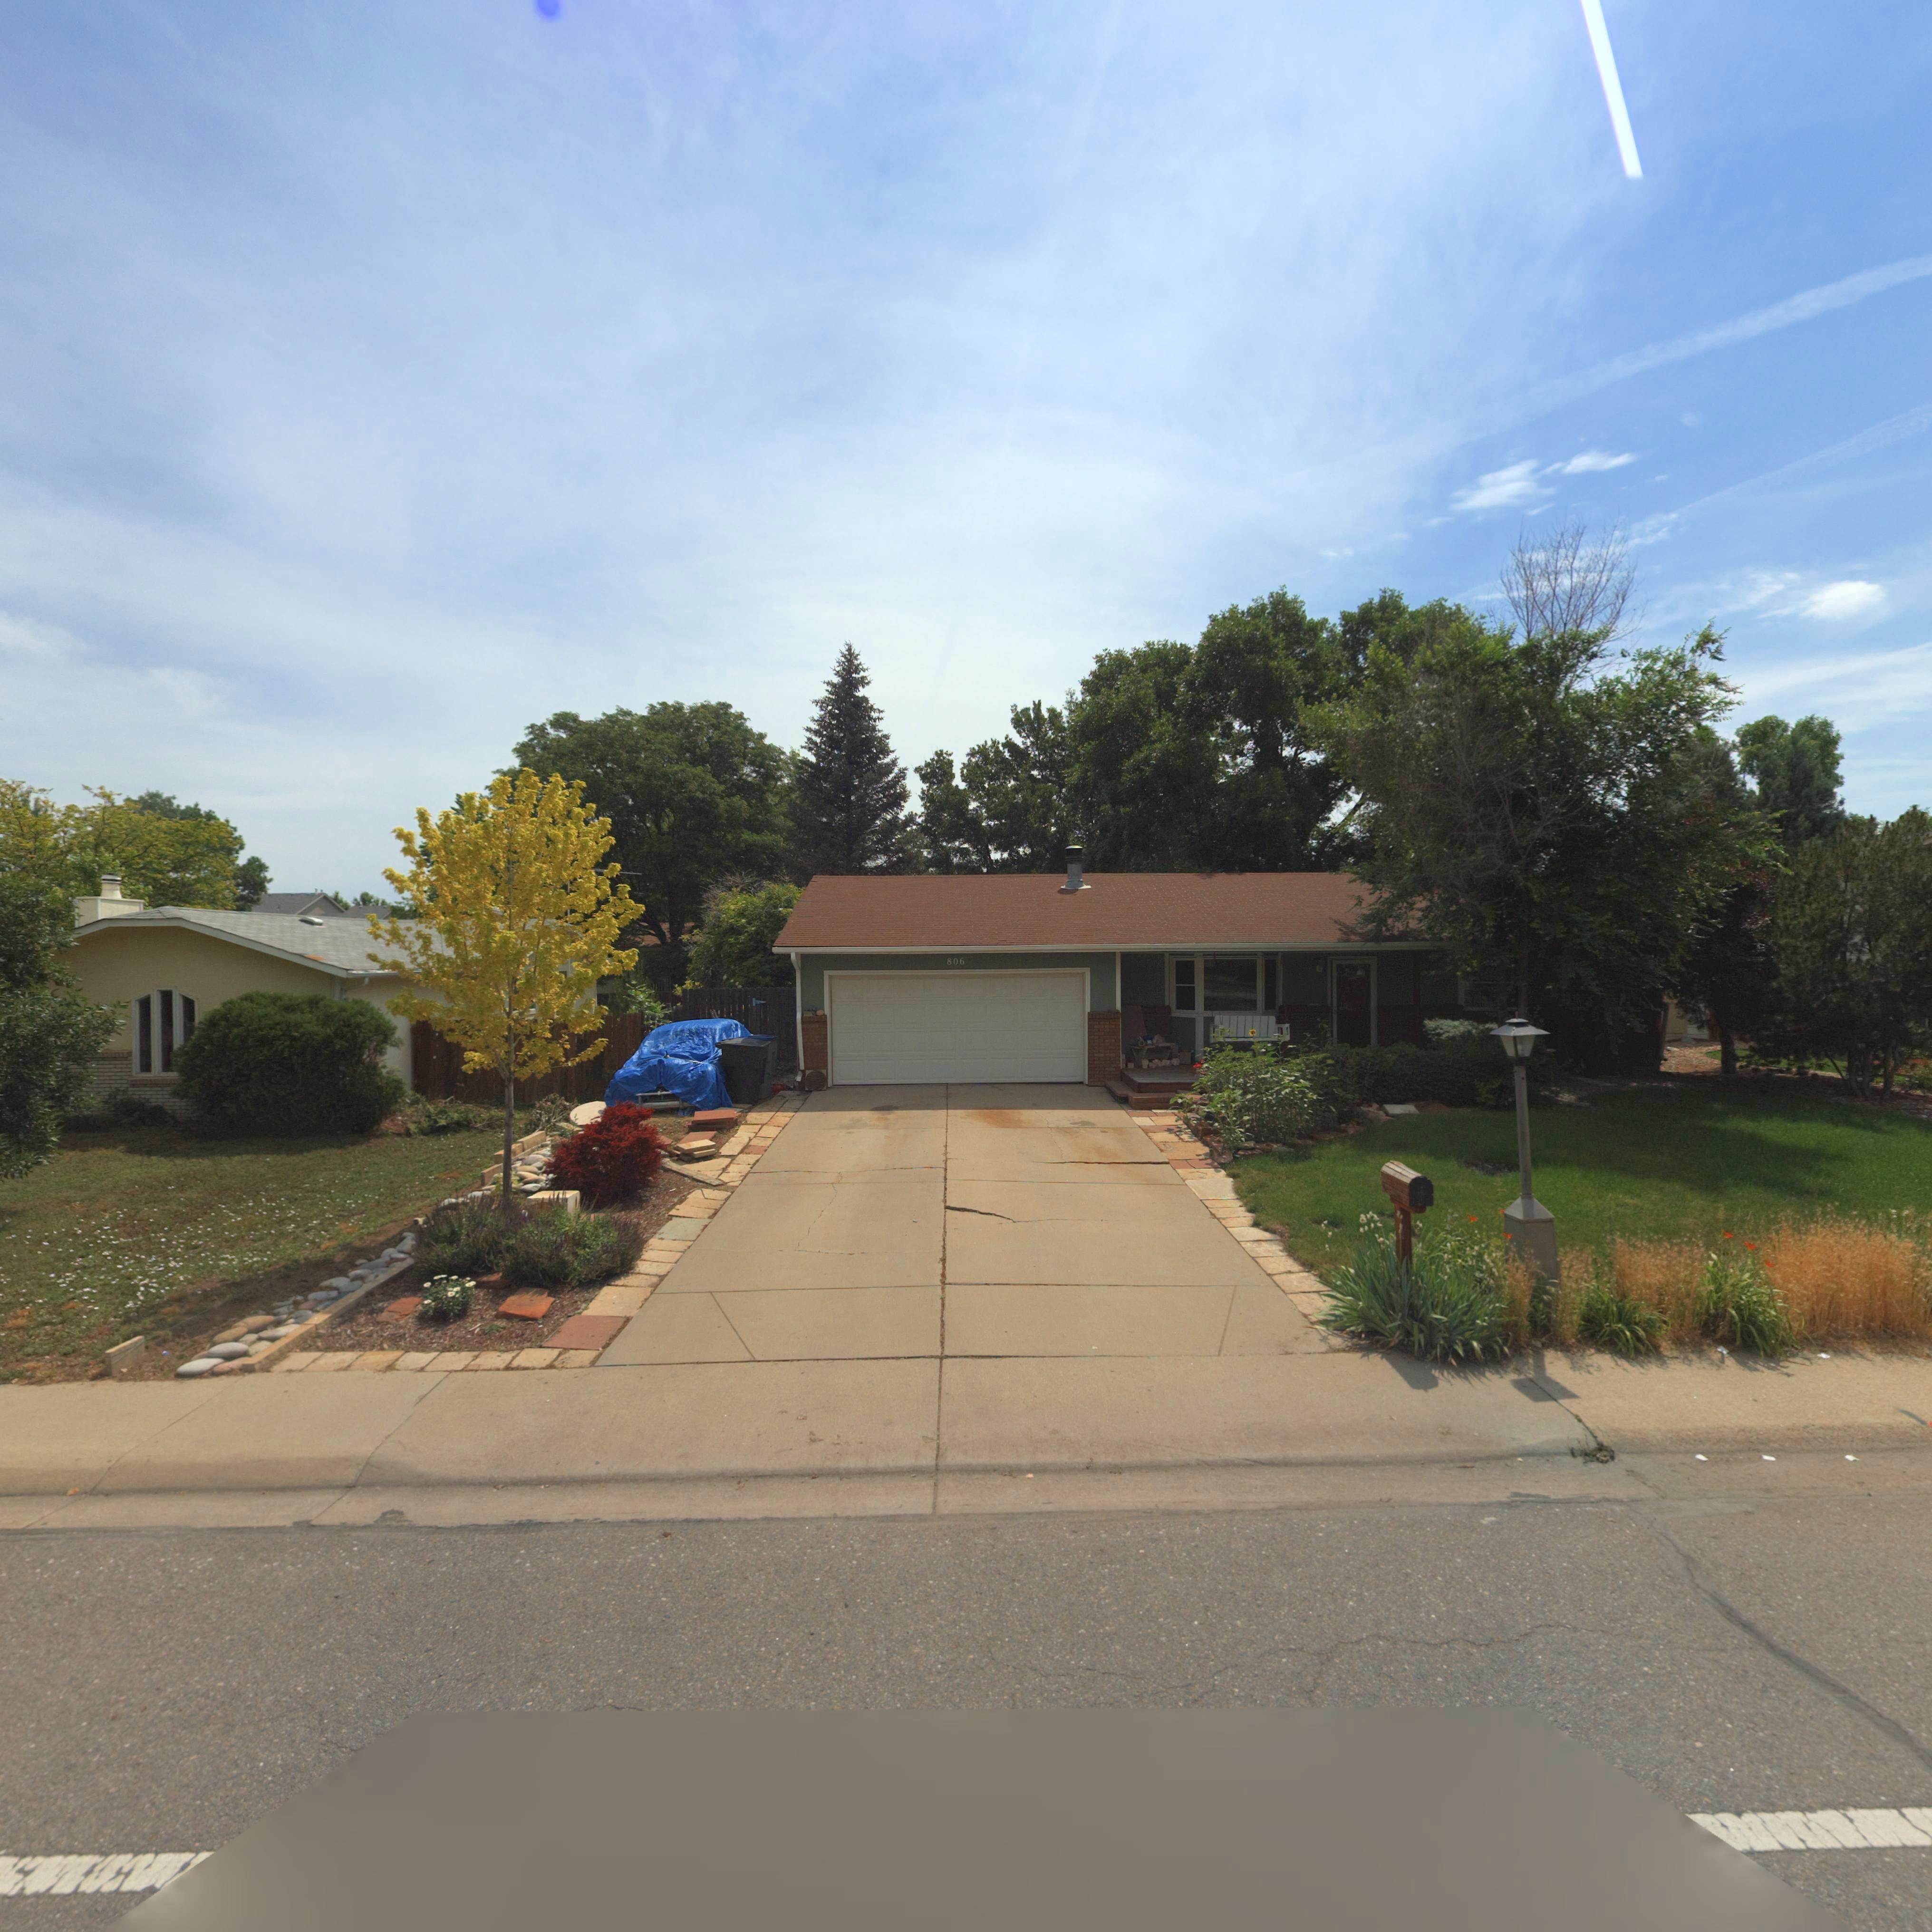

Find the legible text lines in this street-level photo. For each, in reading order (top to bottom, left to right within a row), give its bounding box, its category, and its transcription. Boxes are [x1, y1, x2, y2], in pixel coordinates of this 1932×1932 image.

[947, 957, 965, 966] StreetNumber: 806